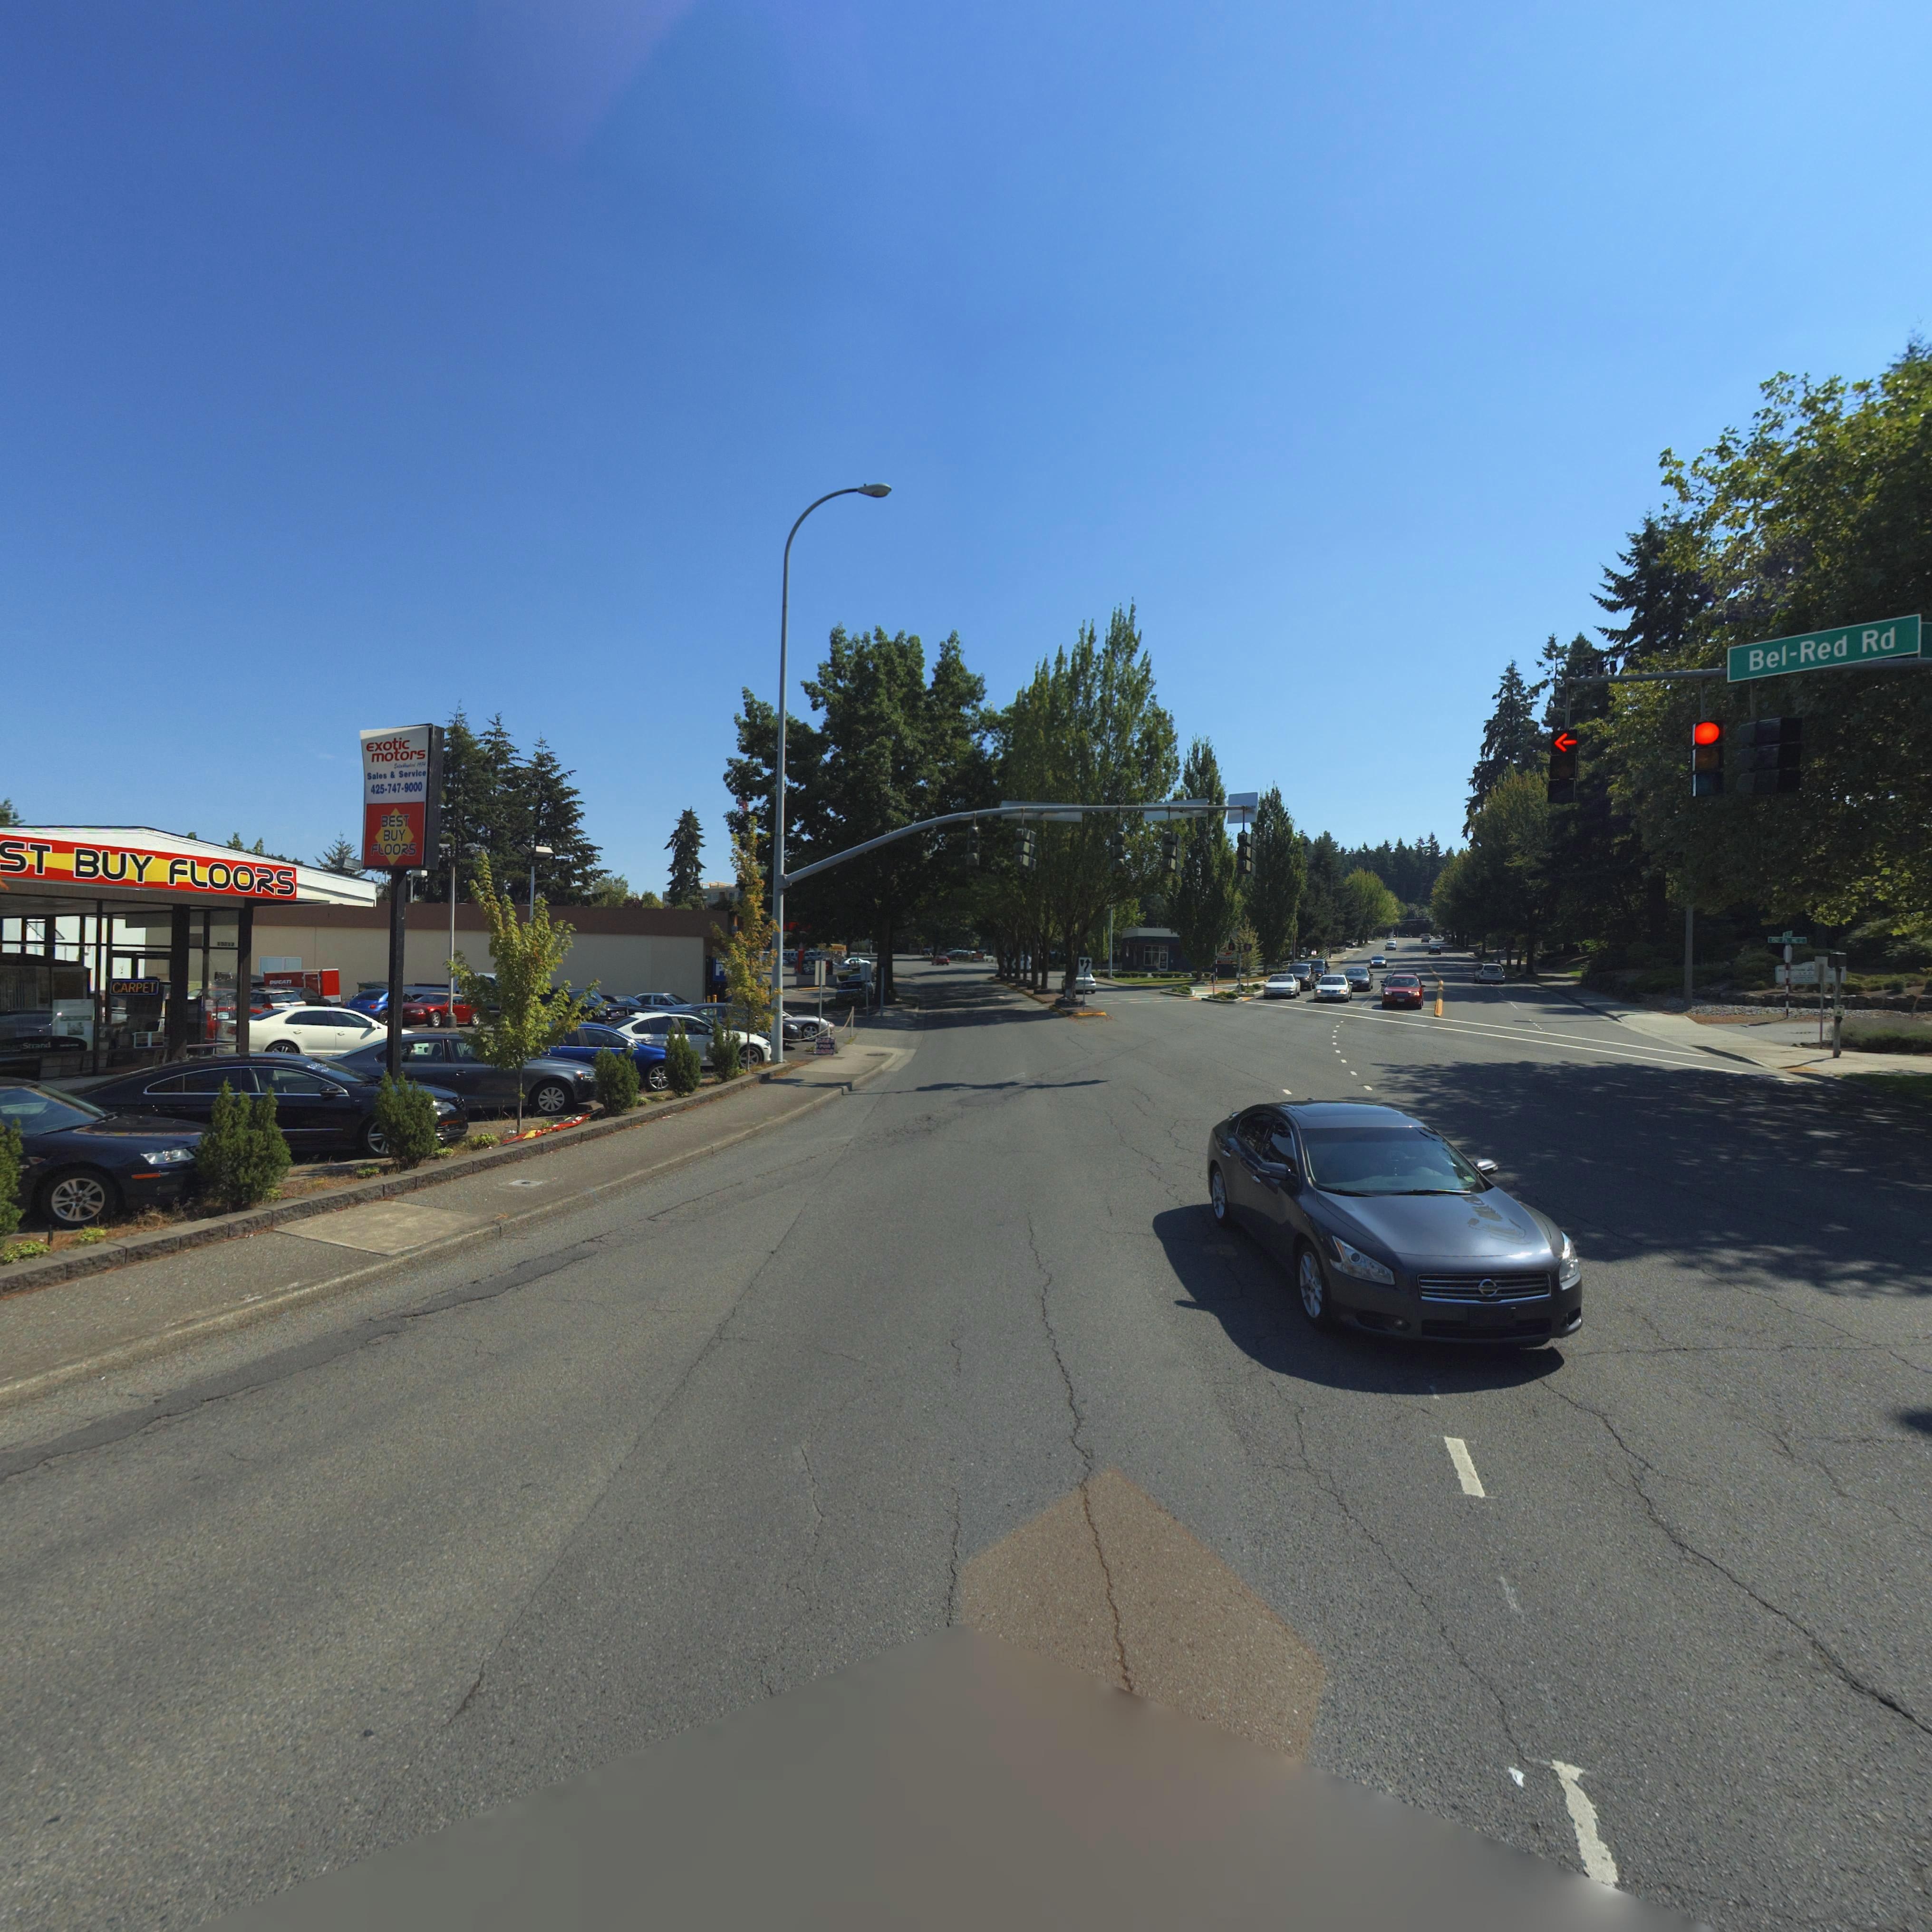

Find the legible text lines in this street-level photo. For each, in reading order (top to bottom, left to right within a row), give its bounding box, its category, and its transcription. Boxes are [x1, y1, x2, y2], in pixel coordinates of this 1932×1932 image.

[1744, 623, 1898, 671] StreetName: Bel Red Rd
[364, 735, 415, 753] BusinessName: Exotic
[368, 746, 427, 764] BusinessName: Motors
[380, 828, 407, 841] BusinessName: BUY
[369, 840, 420, 857] BusinessName: FLOORS
[71, 845, 295, 896] BusinessName: BUY FLOORS